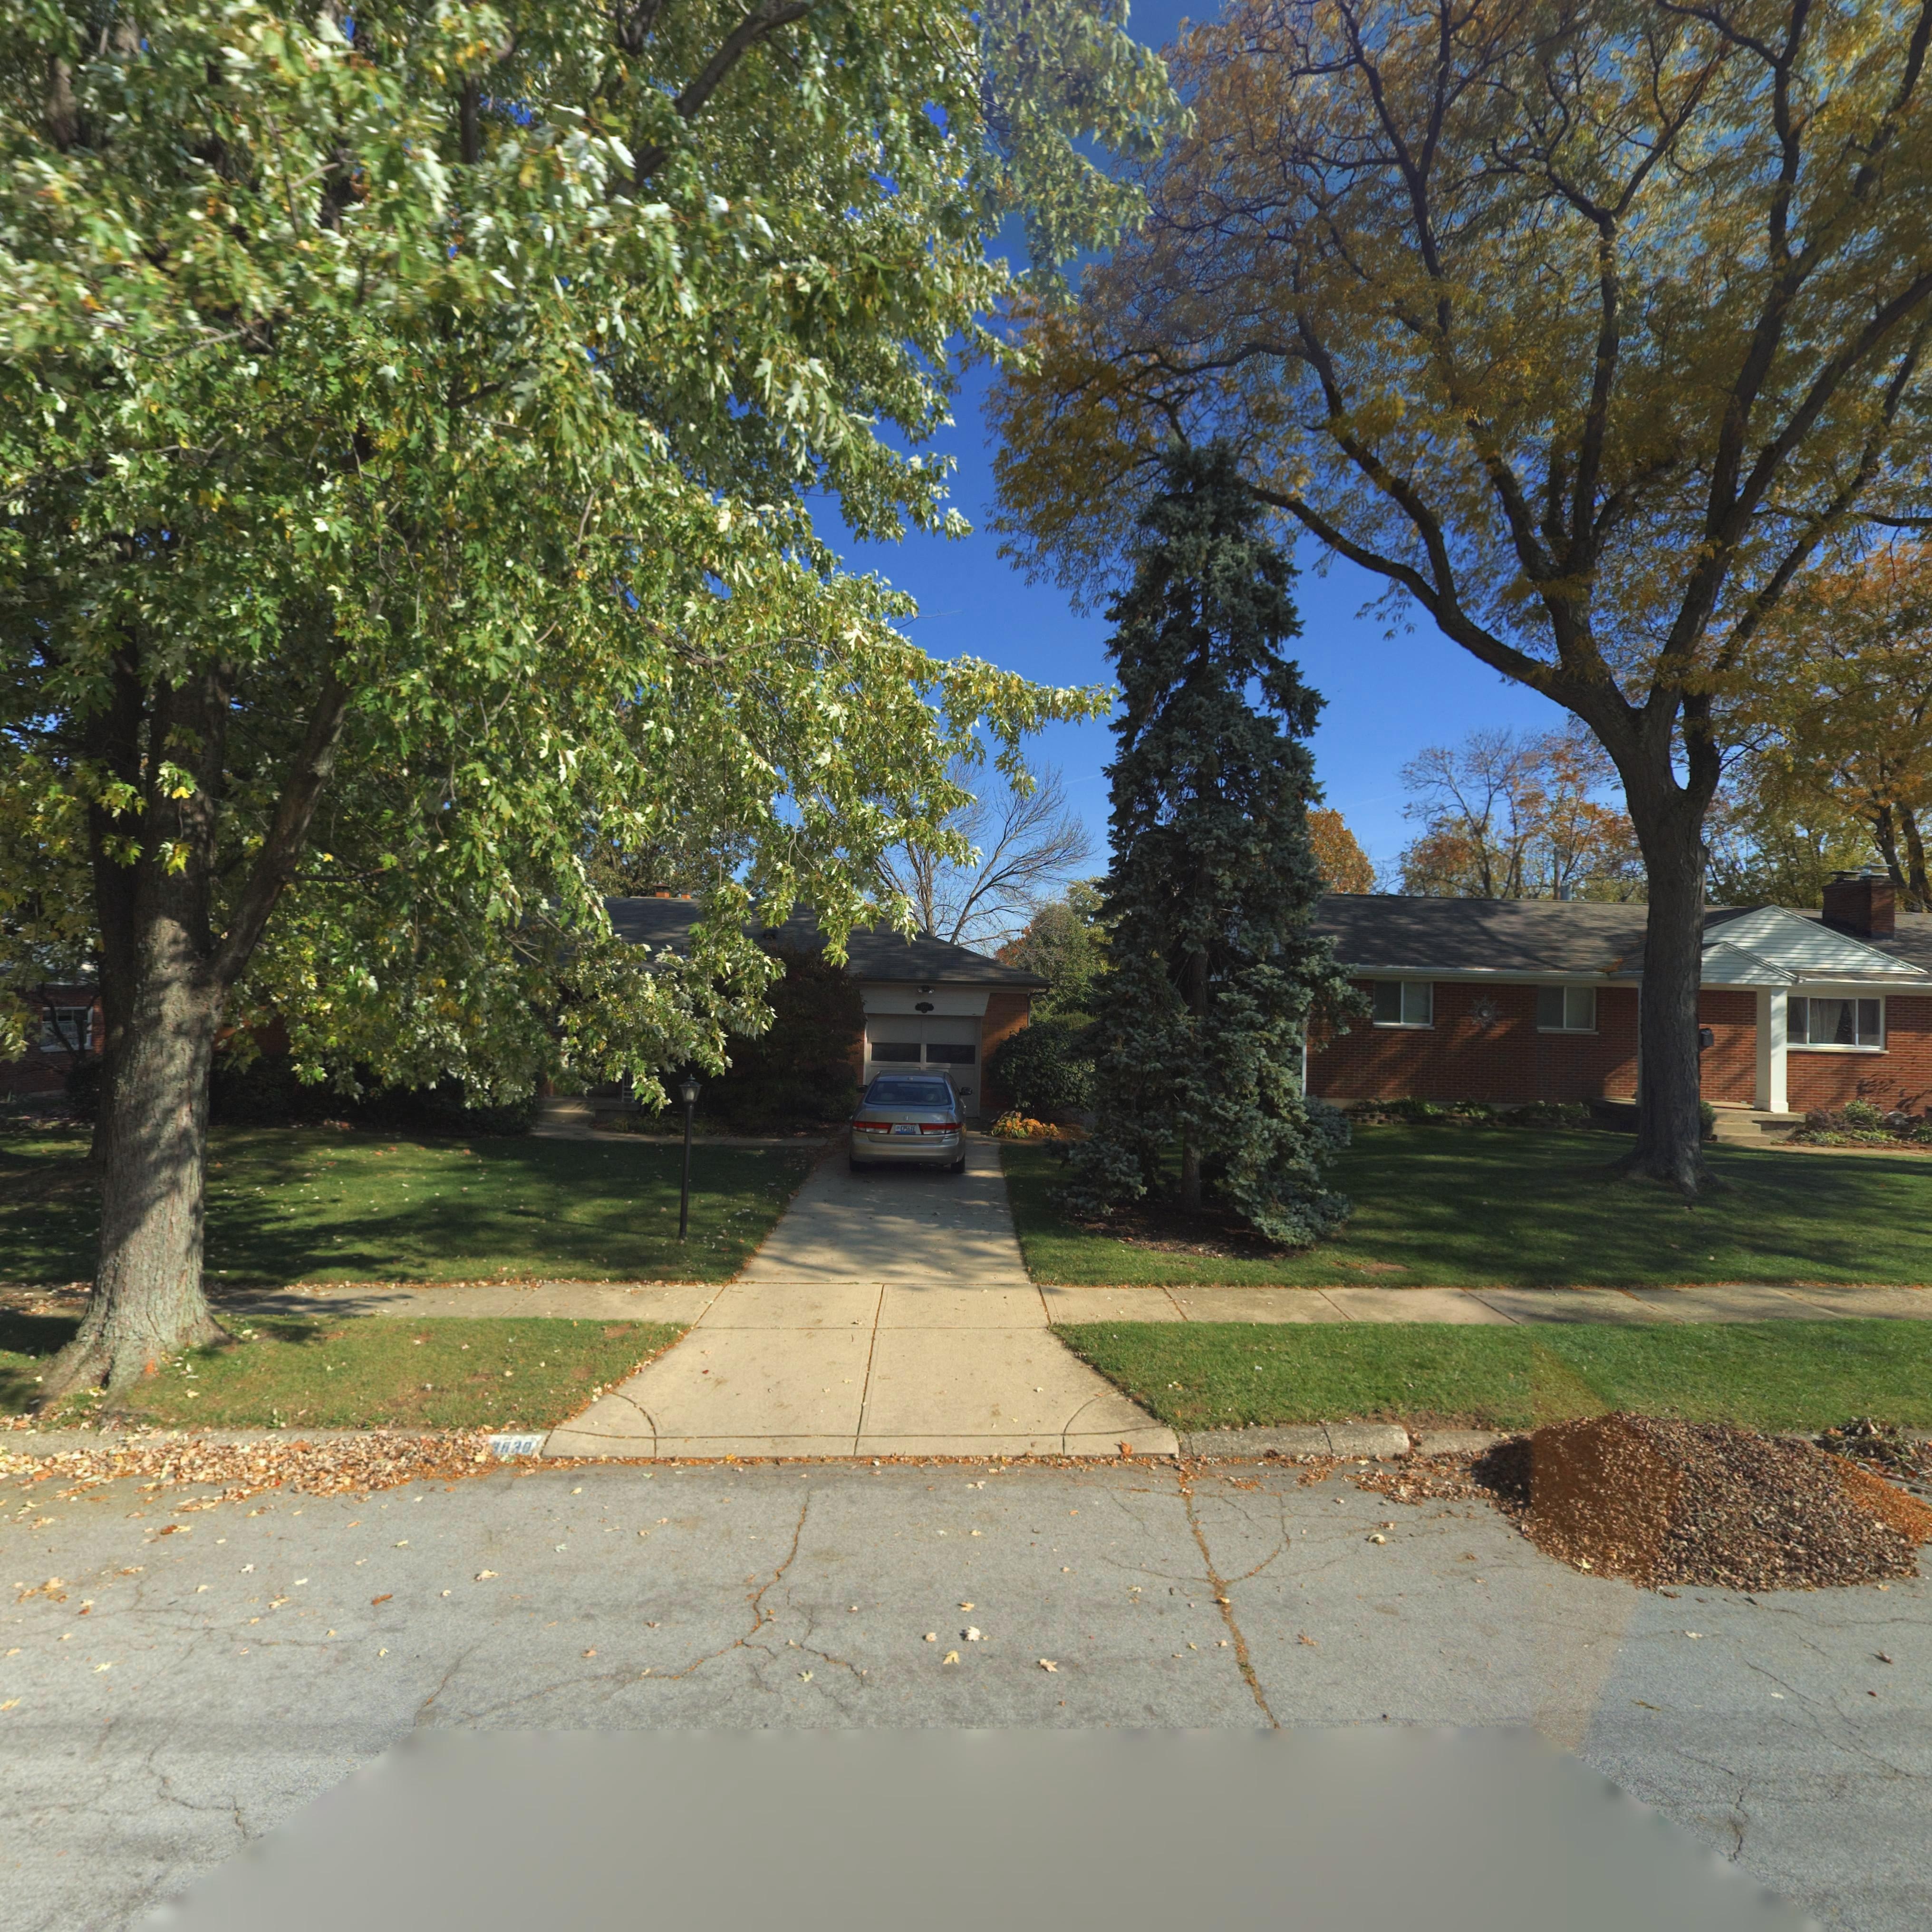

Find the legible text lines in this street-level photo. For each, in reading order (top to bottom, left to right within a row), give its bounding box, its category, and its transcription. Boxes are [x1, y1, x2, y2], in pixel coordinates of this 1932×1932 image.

[900, 1125, 915, 1131] None: CP55TE